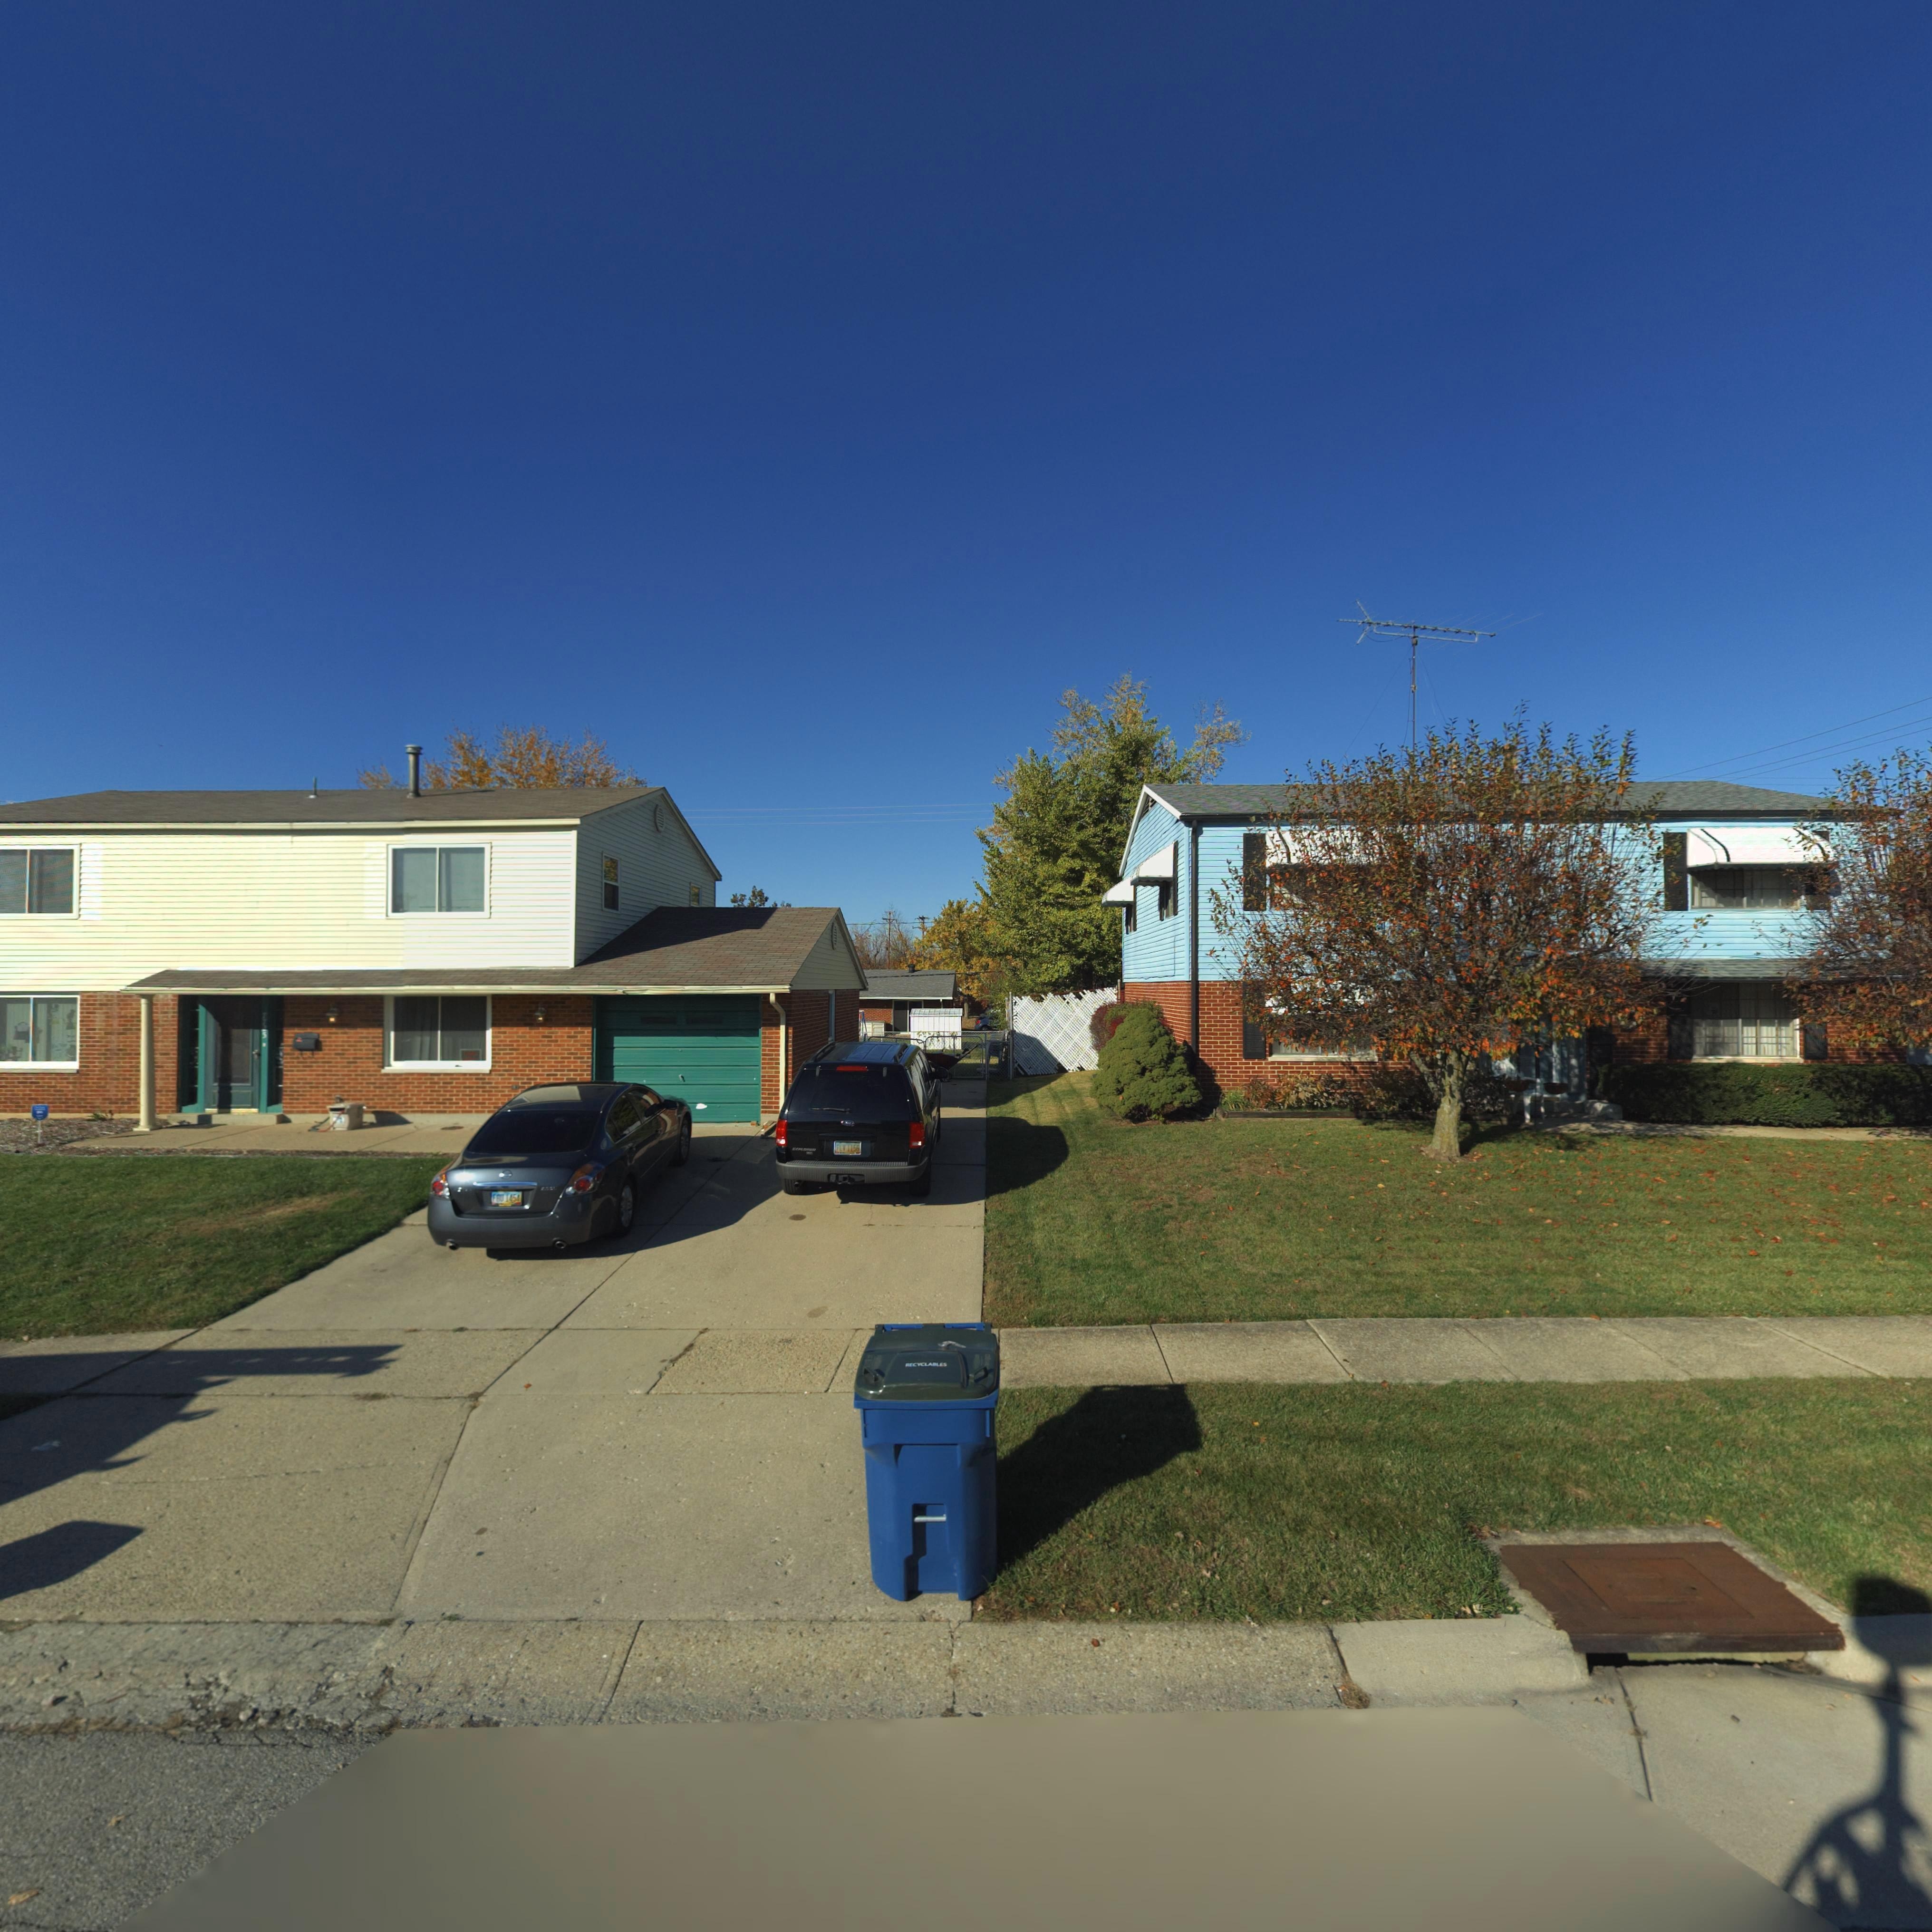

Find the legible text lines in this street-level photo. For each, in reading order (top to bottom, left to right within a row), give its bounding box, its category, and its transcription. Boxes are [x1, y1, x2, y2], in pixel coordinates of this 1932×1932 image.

[261, 1011, 268, 1040] StreetNumber: 7725